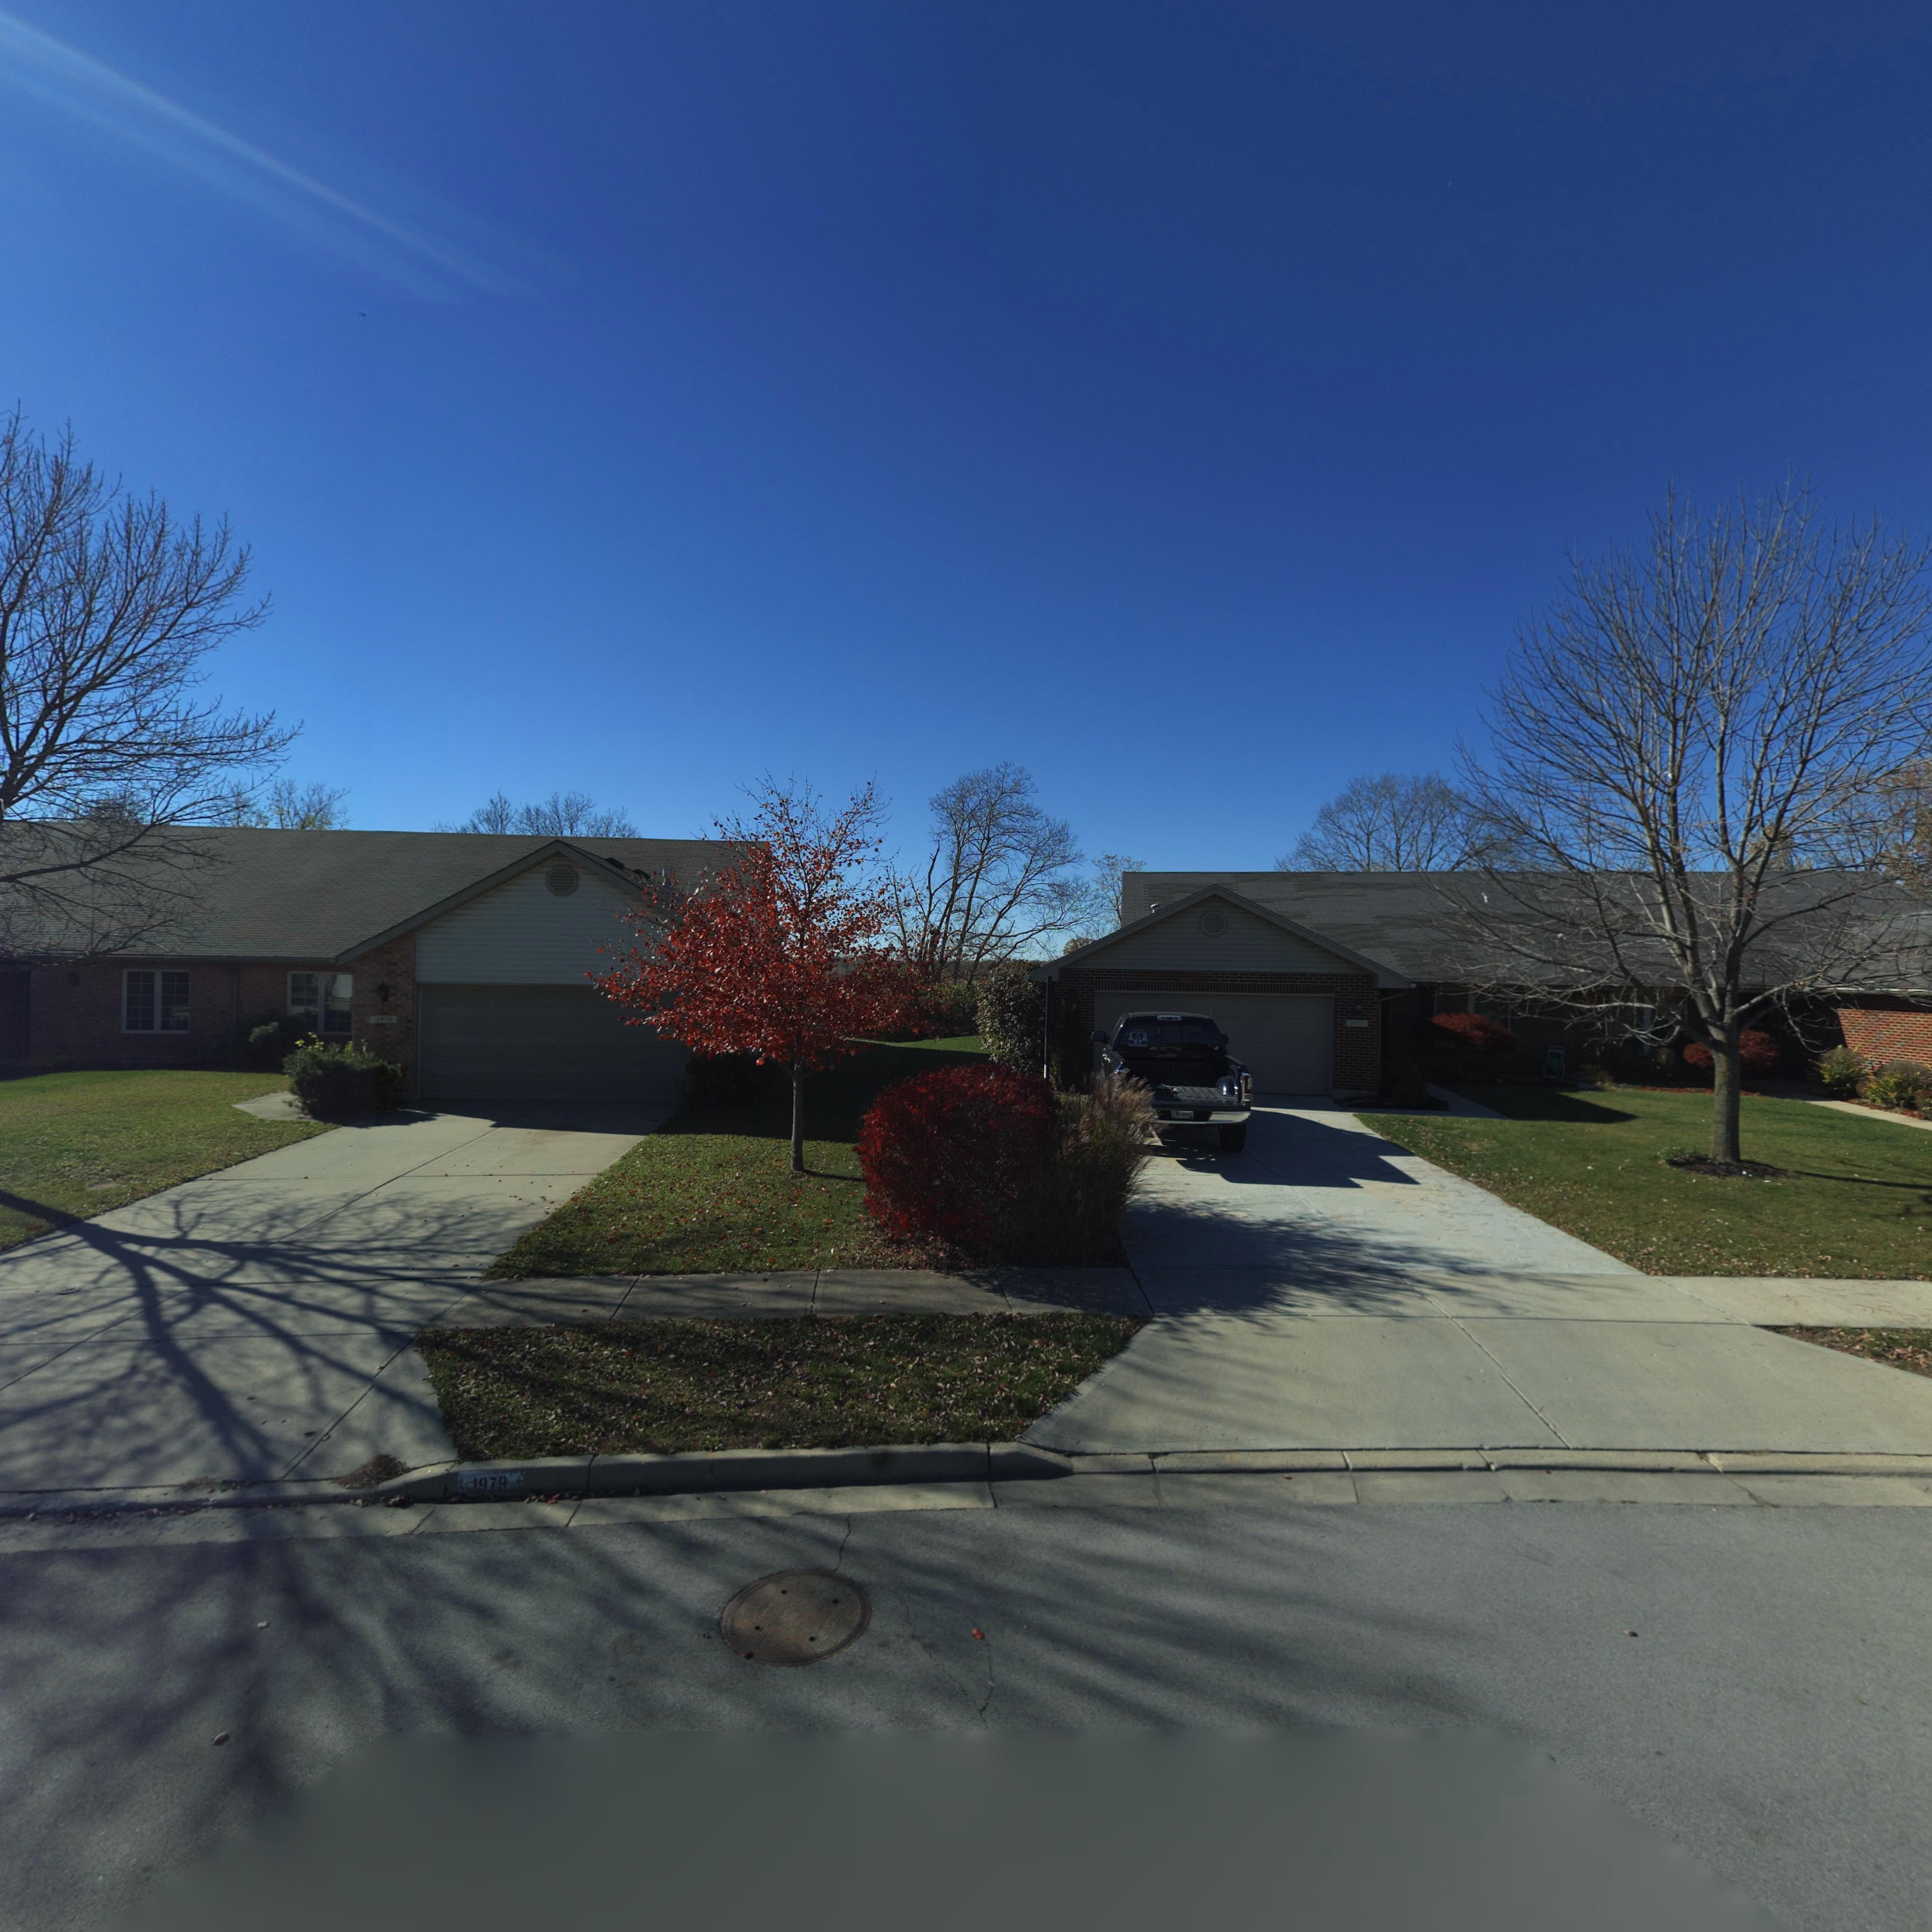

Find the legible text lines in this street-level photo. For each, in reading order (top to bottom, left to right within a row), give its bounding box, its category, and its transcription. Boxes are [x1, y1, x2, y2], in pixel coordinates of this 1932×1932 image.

[376, 1016, 393, 1024] StreetNumber: 1979
[1350, 1020, 1364, 1026] StreetNumber: 1*7*
[472, 1475, 508, 1493] StreetNumber: *979